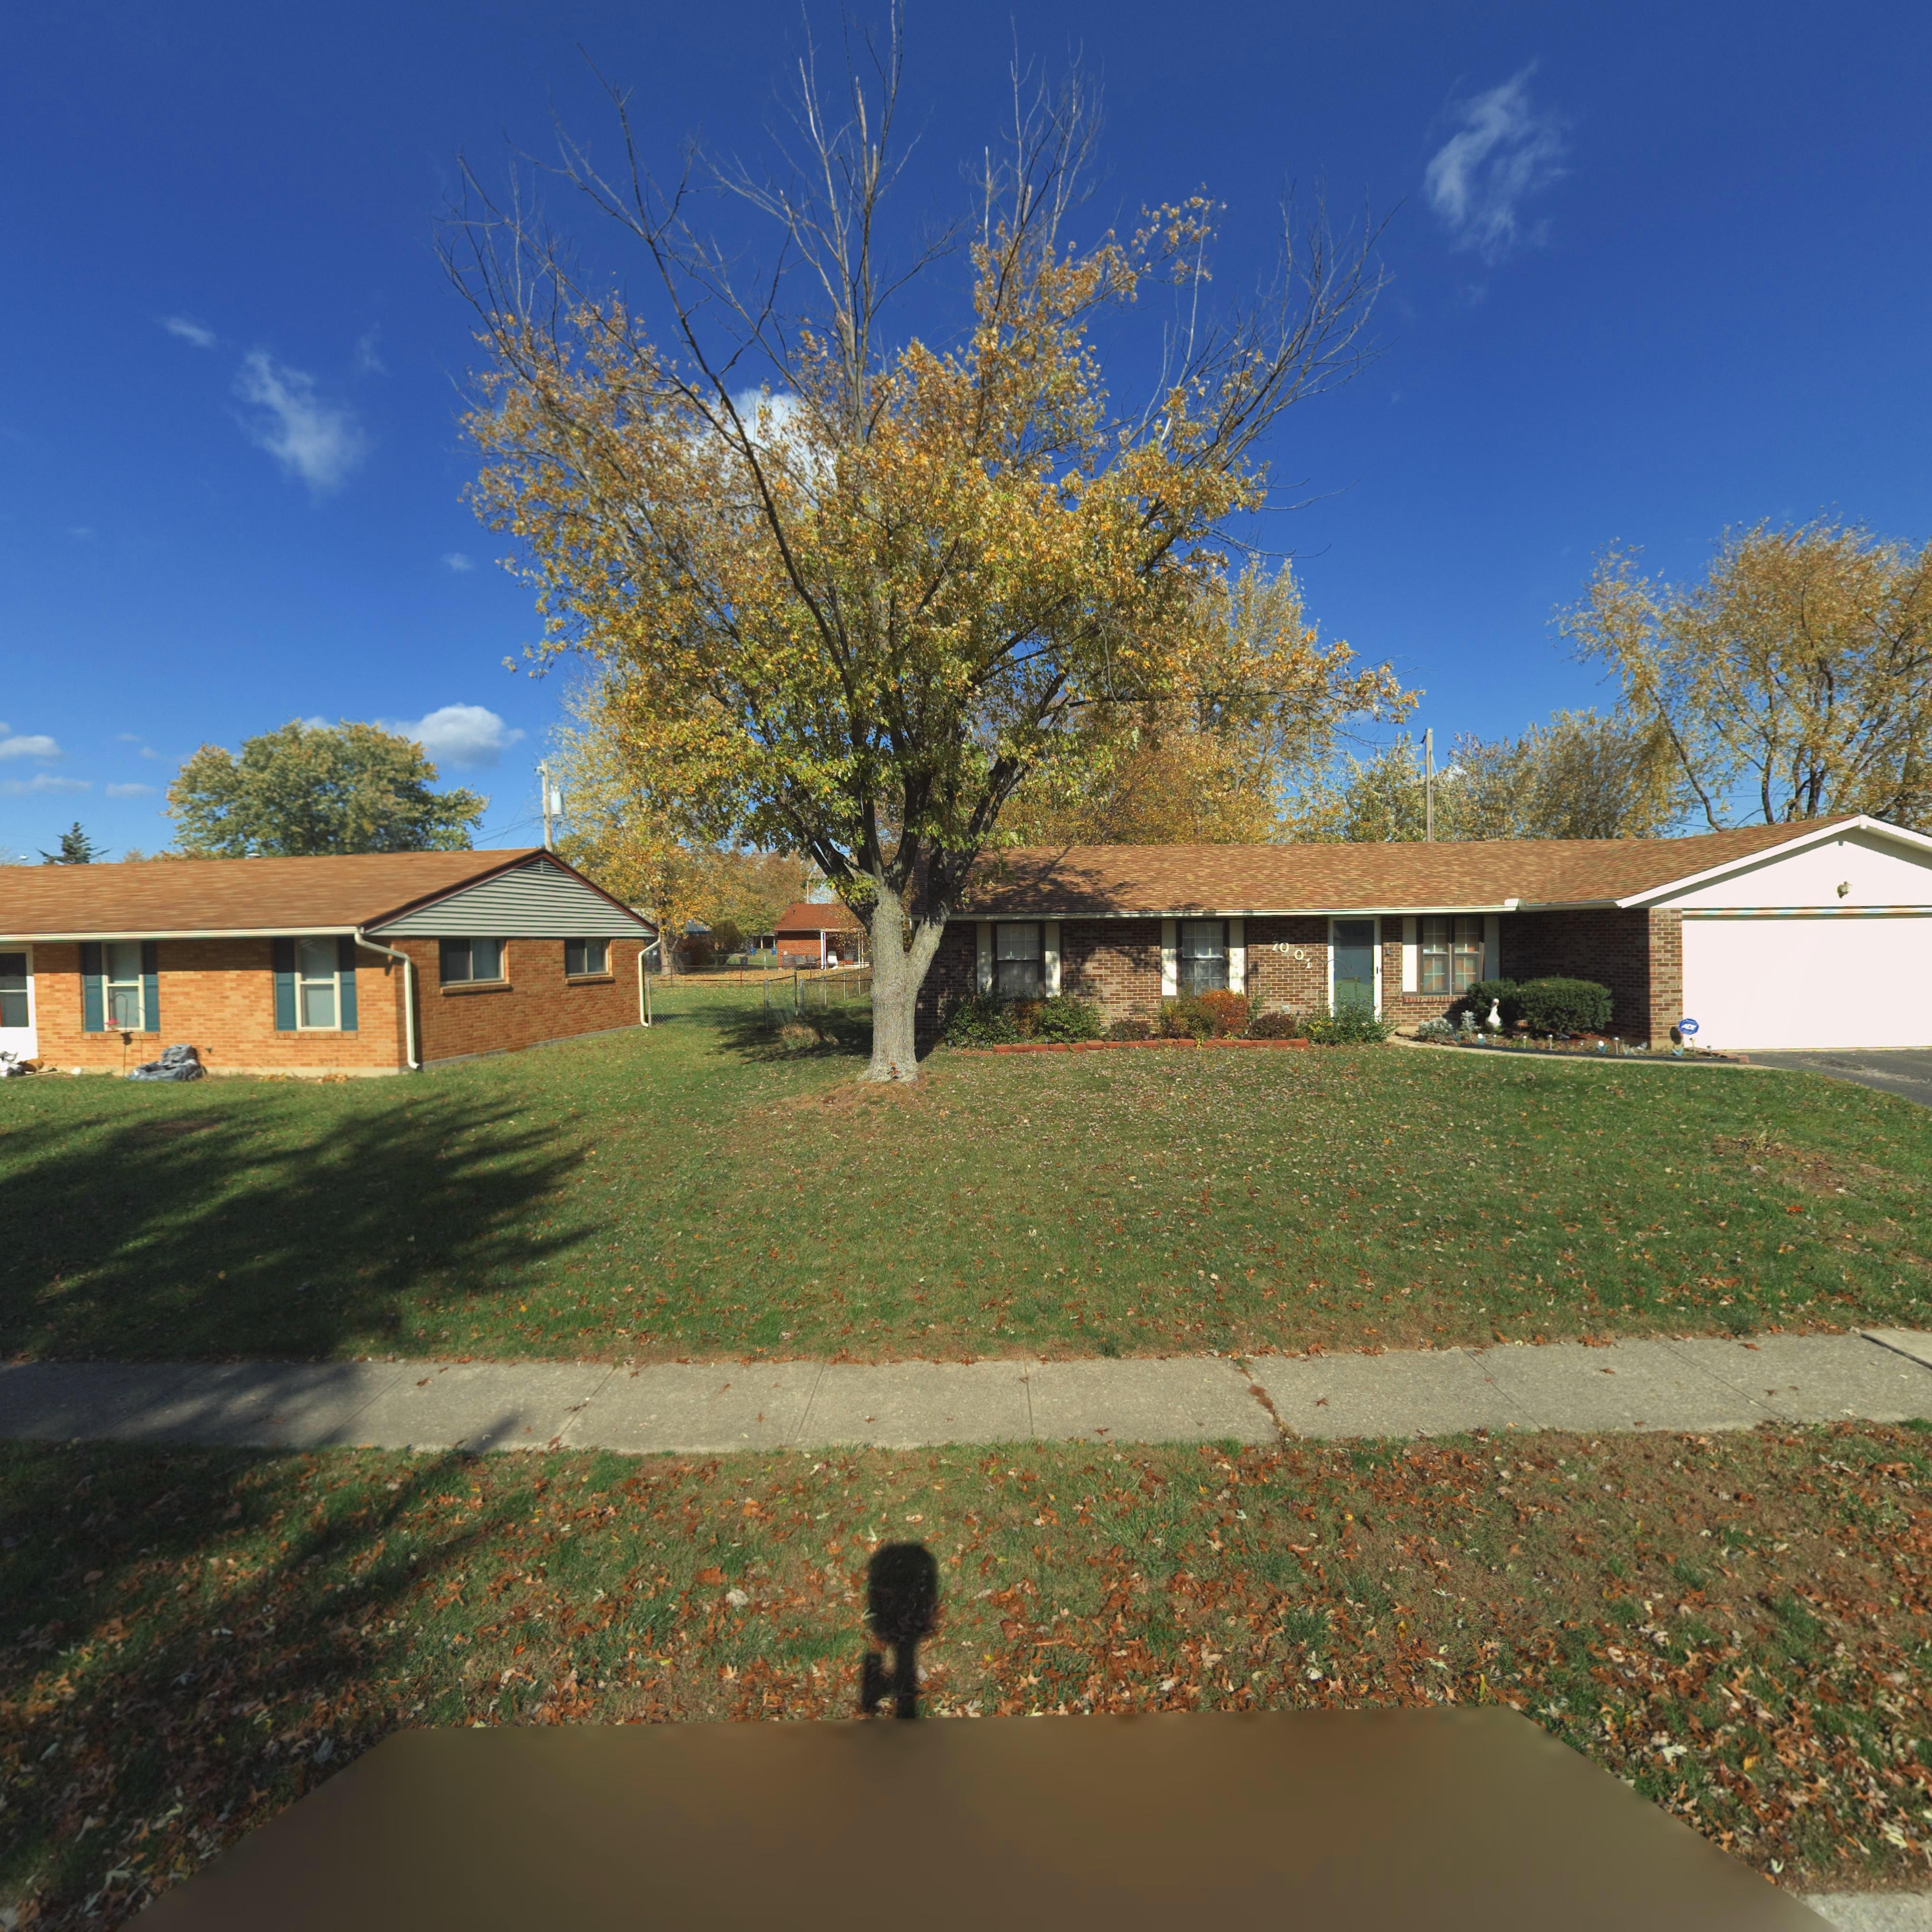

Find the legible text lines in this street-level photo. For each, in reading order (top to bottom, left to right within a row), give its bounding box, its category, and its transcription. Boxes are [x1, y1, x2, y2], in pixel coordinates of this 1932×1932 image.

[1270, 940, 1312, 970] StreetNumber: 7001